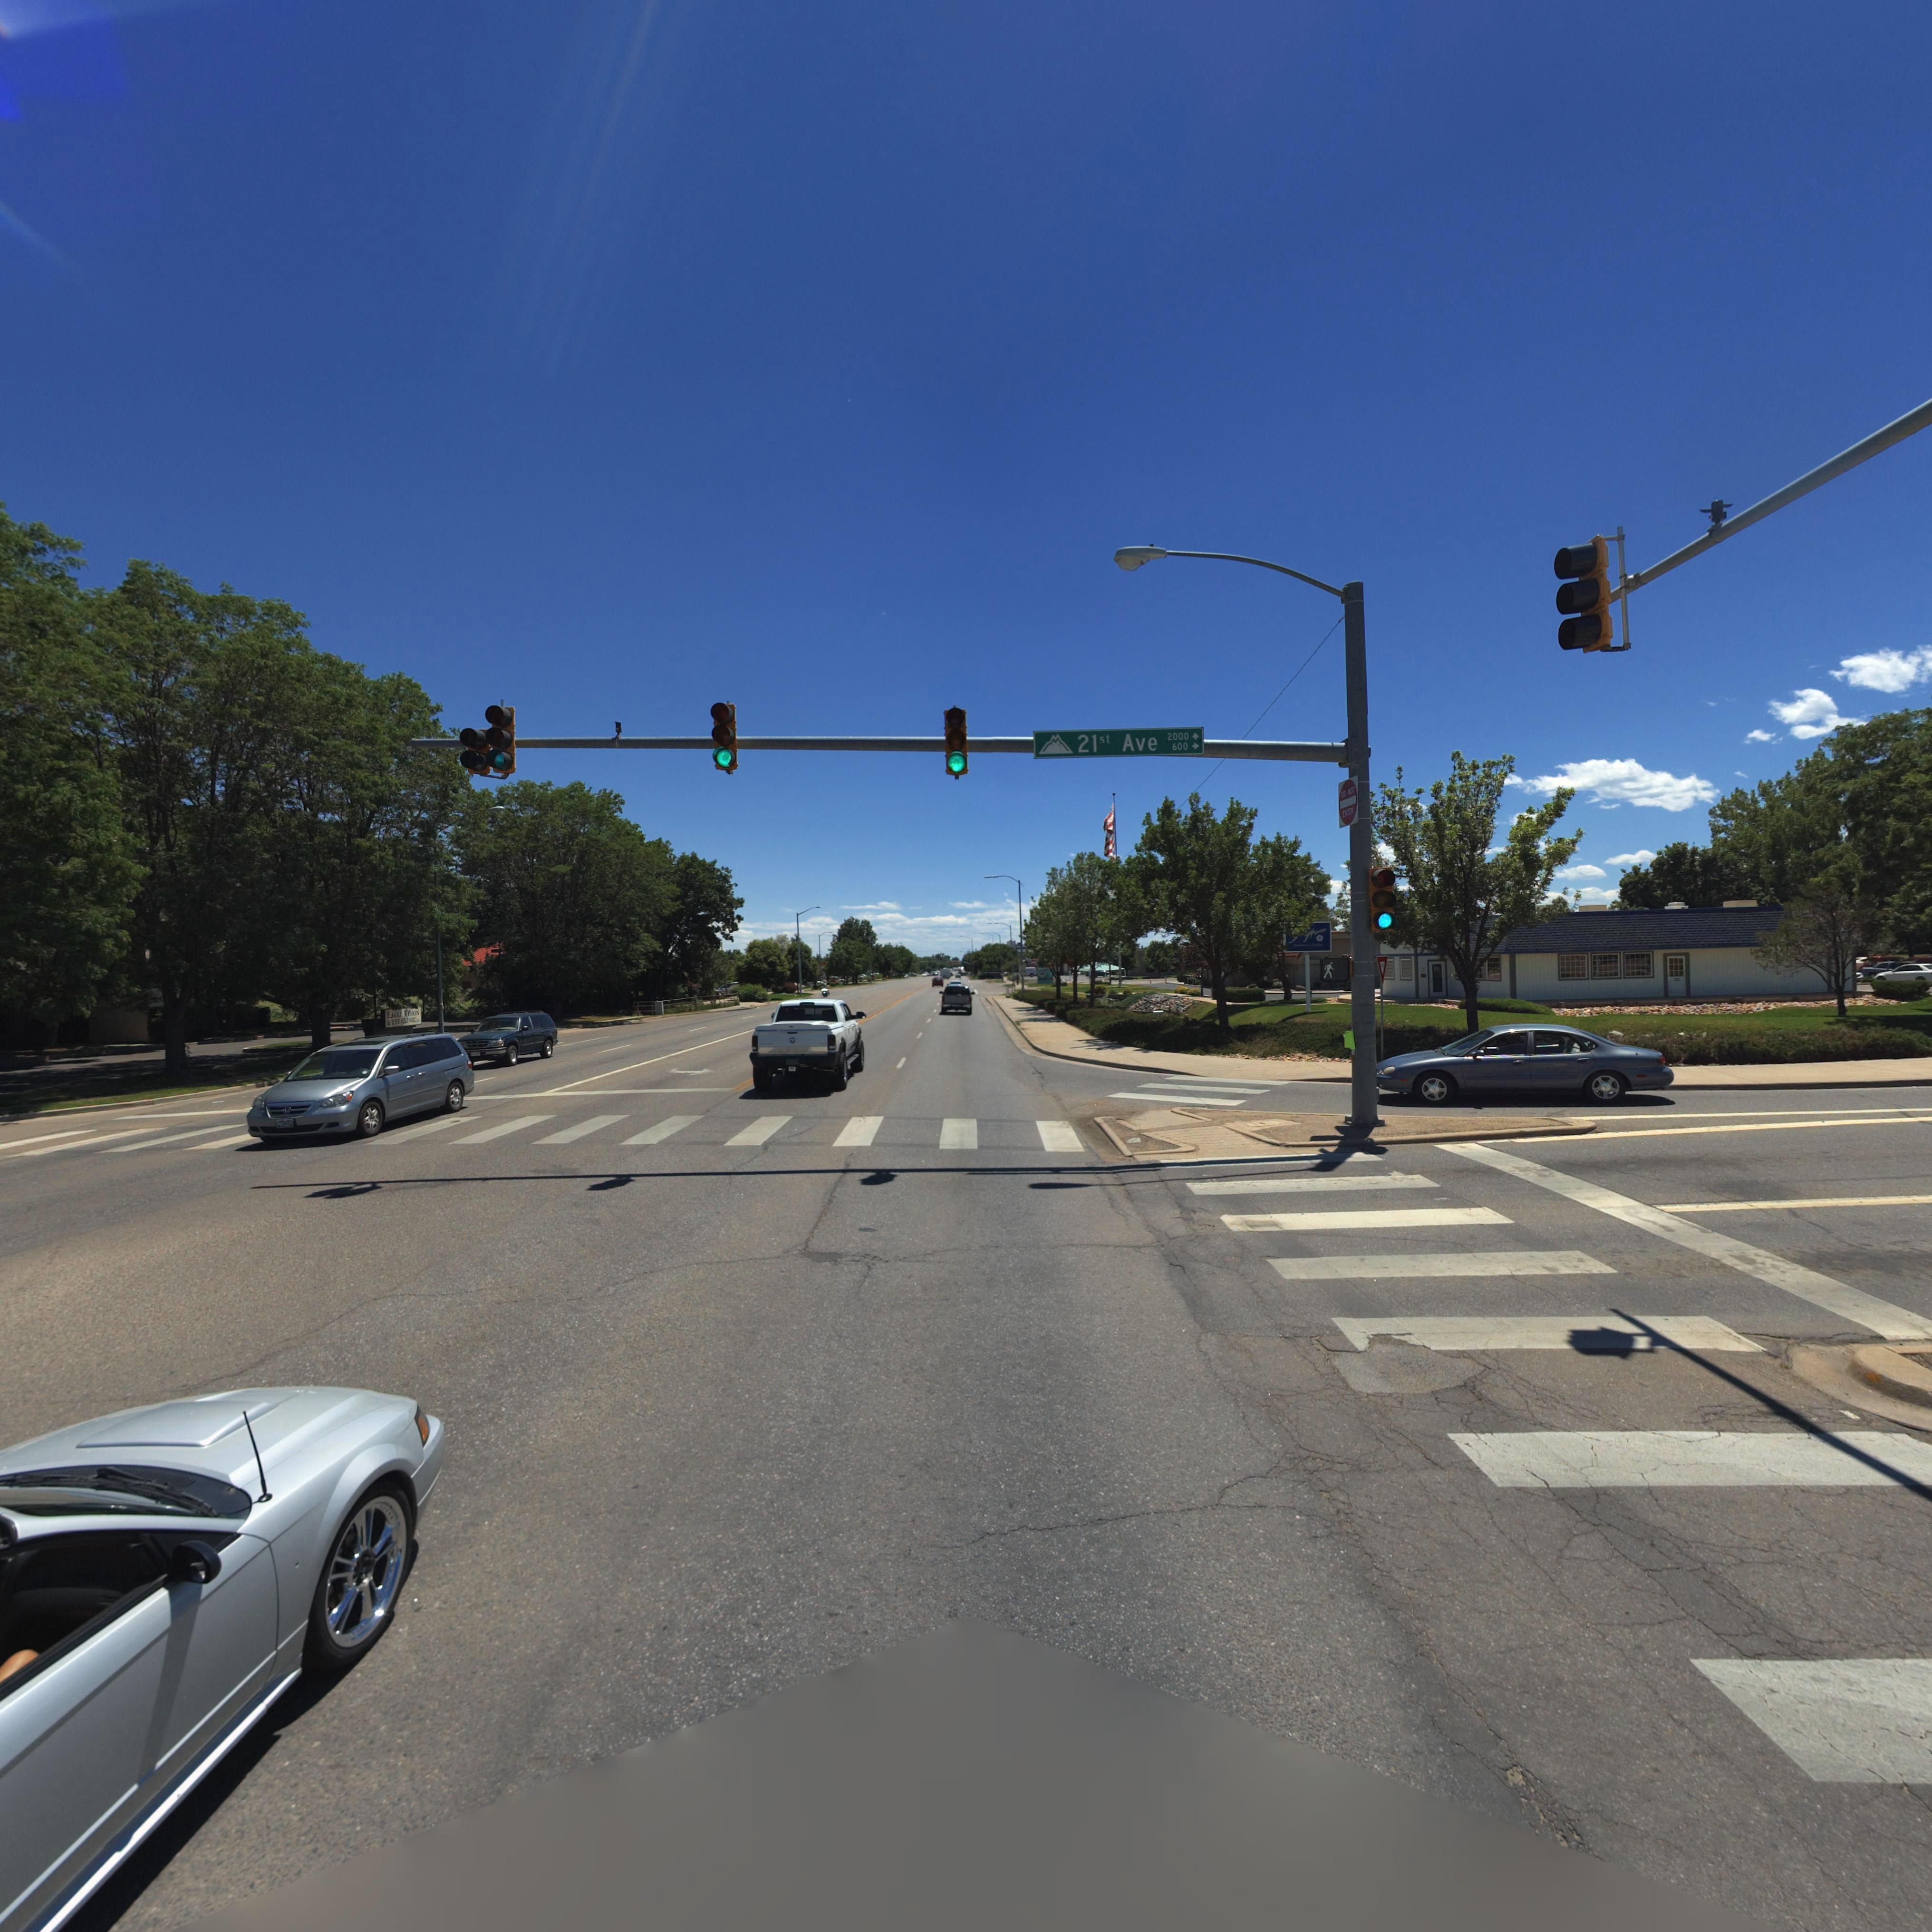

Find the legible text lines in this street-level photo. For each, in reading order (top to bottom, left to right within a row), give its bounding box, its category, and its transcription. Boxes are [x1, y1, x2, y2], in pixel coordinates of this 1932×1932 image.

[1167, 732, 1188, 740] StreetNumberRange: 2000
[1075, 733, 1159, 753] StreetName: 21st Ave
[1171, 742, 1199, 751] StreetNumberRange: 600 ->
[1303, 926, 1327, 943] BusinessName: As**
[387, 1009, 419, 1018] BusinessName: EAGLE VISION
[386, 1016, 420, 1026] BusinessName: & EYE CLINIC.